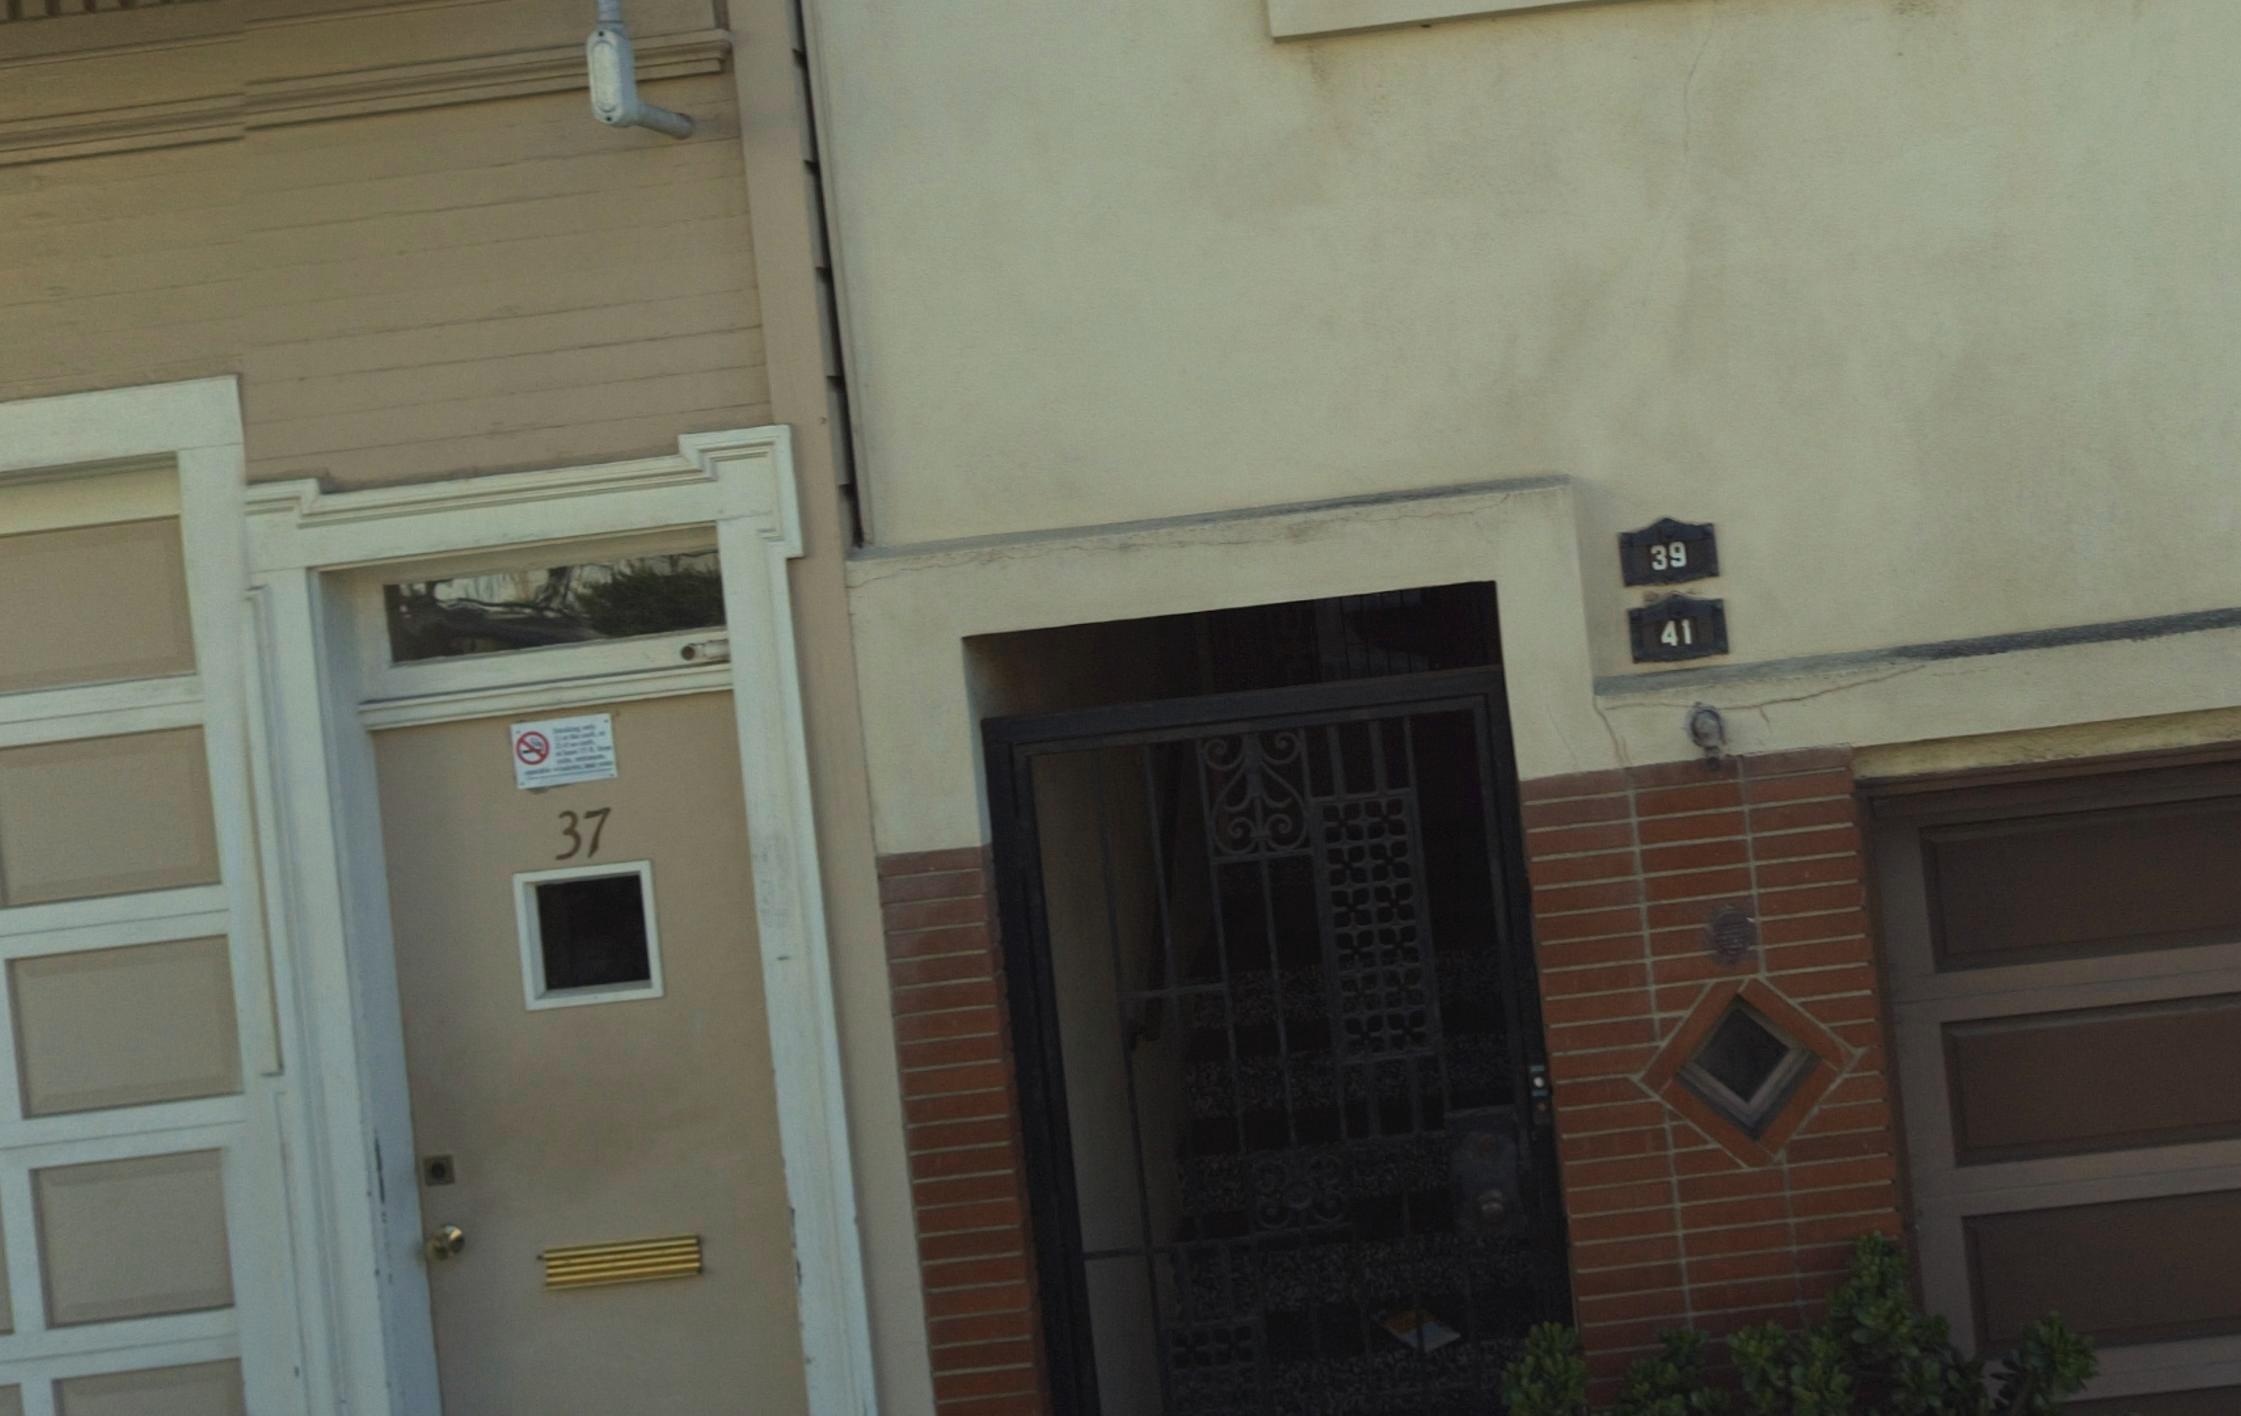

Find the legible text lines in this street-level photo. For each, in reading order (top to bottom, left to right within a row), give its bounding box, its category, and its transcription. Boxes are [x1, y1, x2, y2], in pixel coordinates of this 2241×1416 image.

[1648, 537, 1690, 574] StreetNumber: 39
[1658, 615, 1696, 649] StreetNumber: 41
[552, 804, 614, 863] StreetNumber: 37